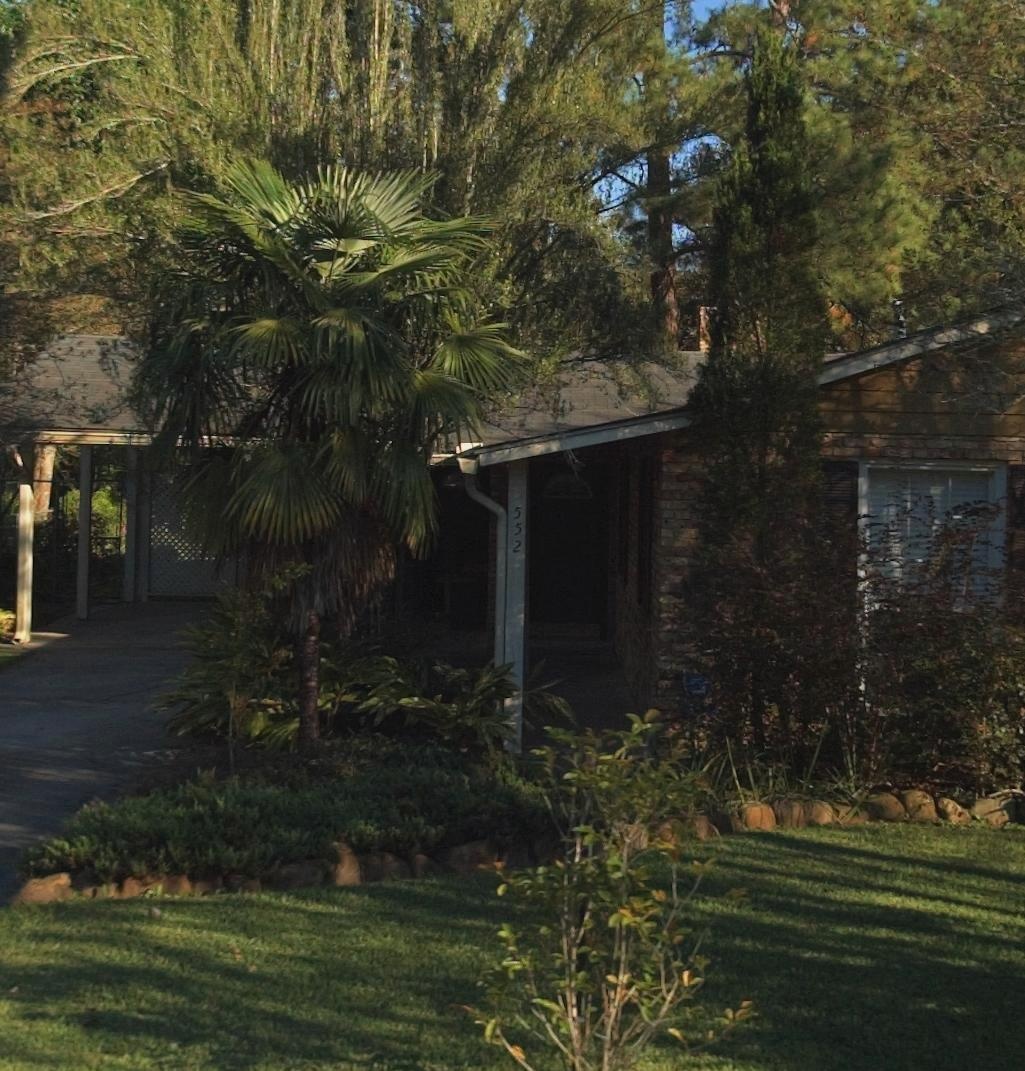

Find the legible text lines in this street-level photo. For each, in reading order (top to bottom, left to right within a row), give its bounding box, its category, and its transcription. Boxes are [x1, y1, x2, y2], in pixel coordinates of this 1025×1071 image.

[510, 504, 525, 555] StreetNumber: 552